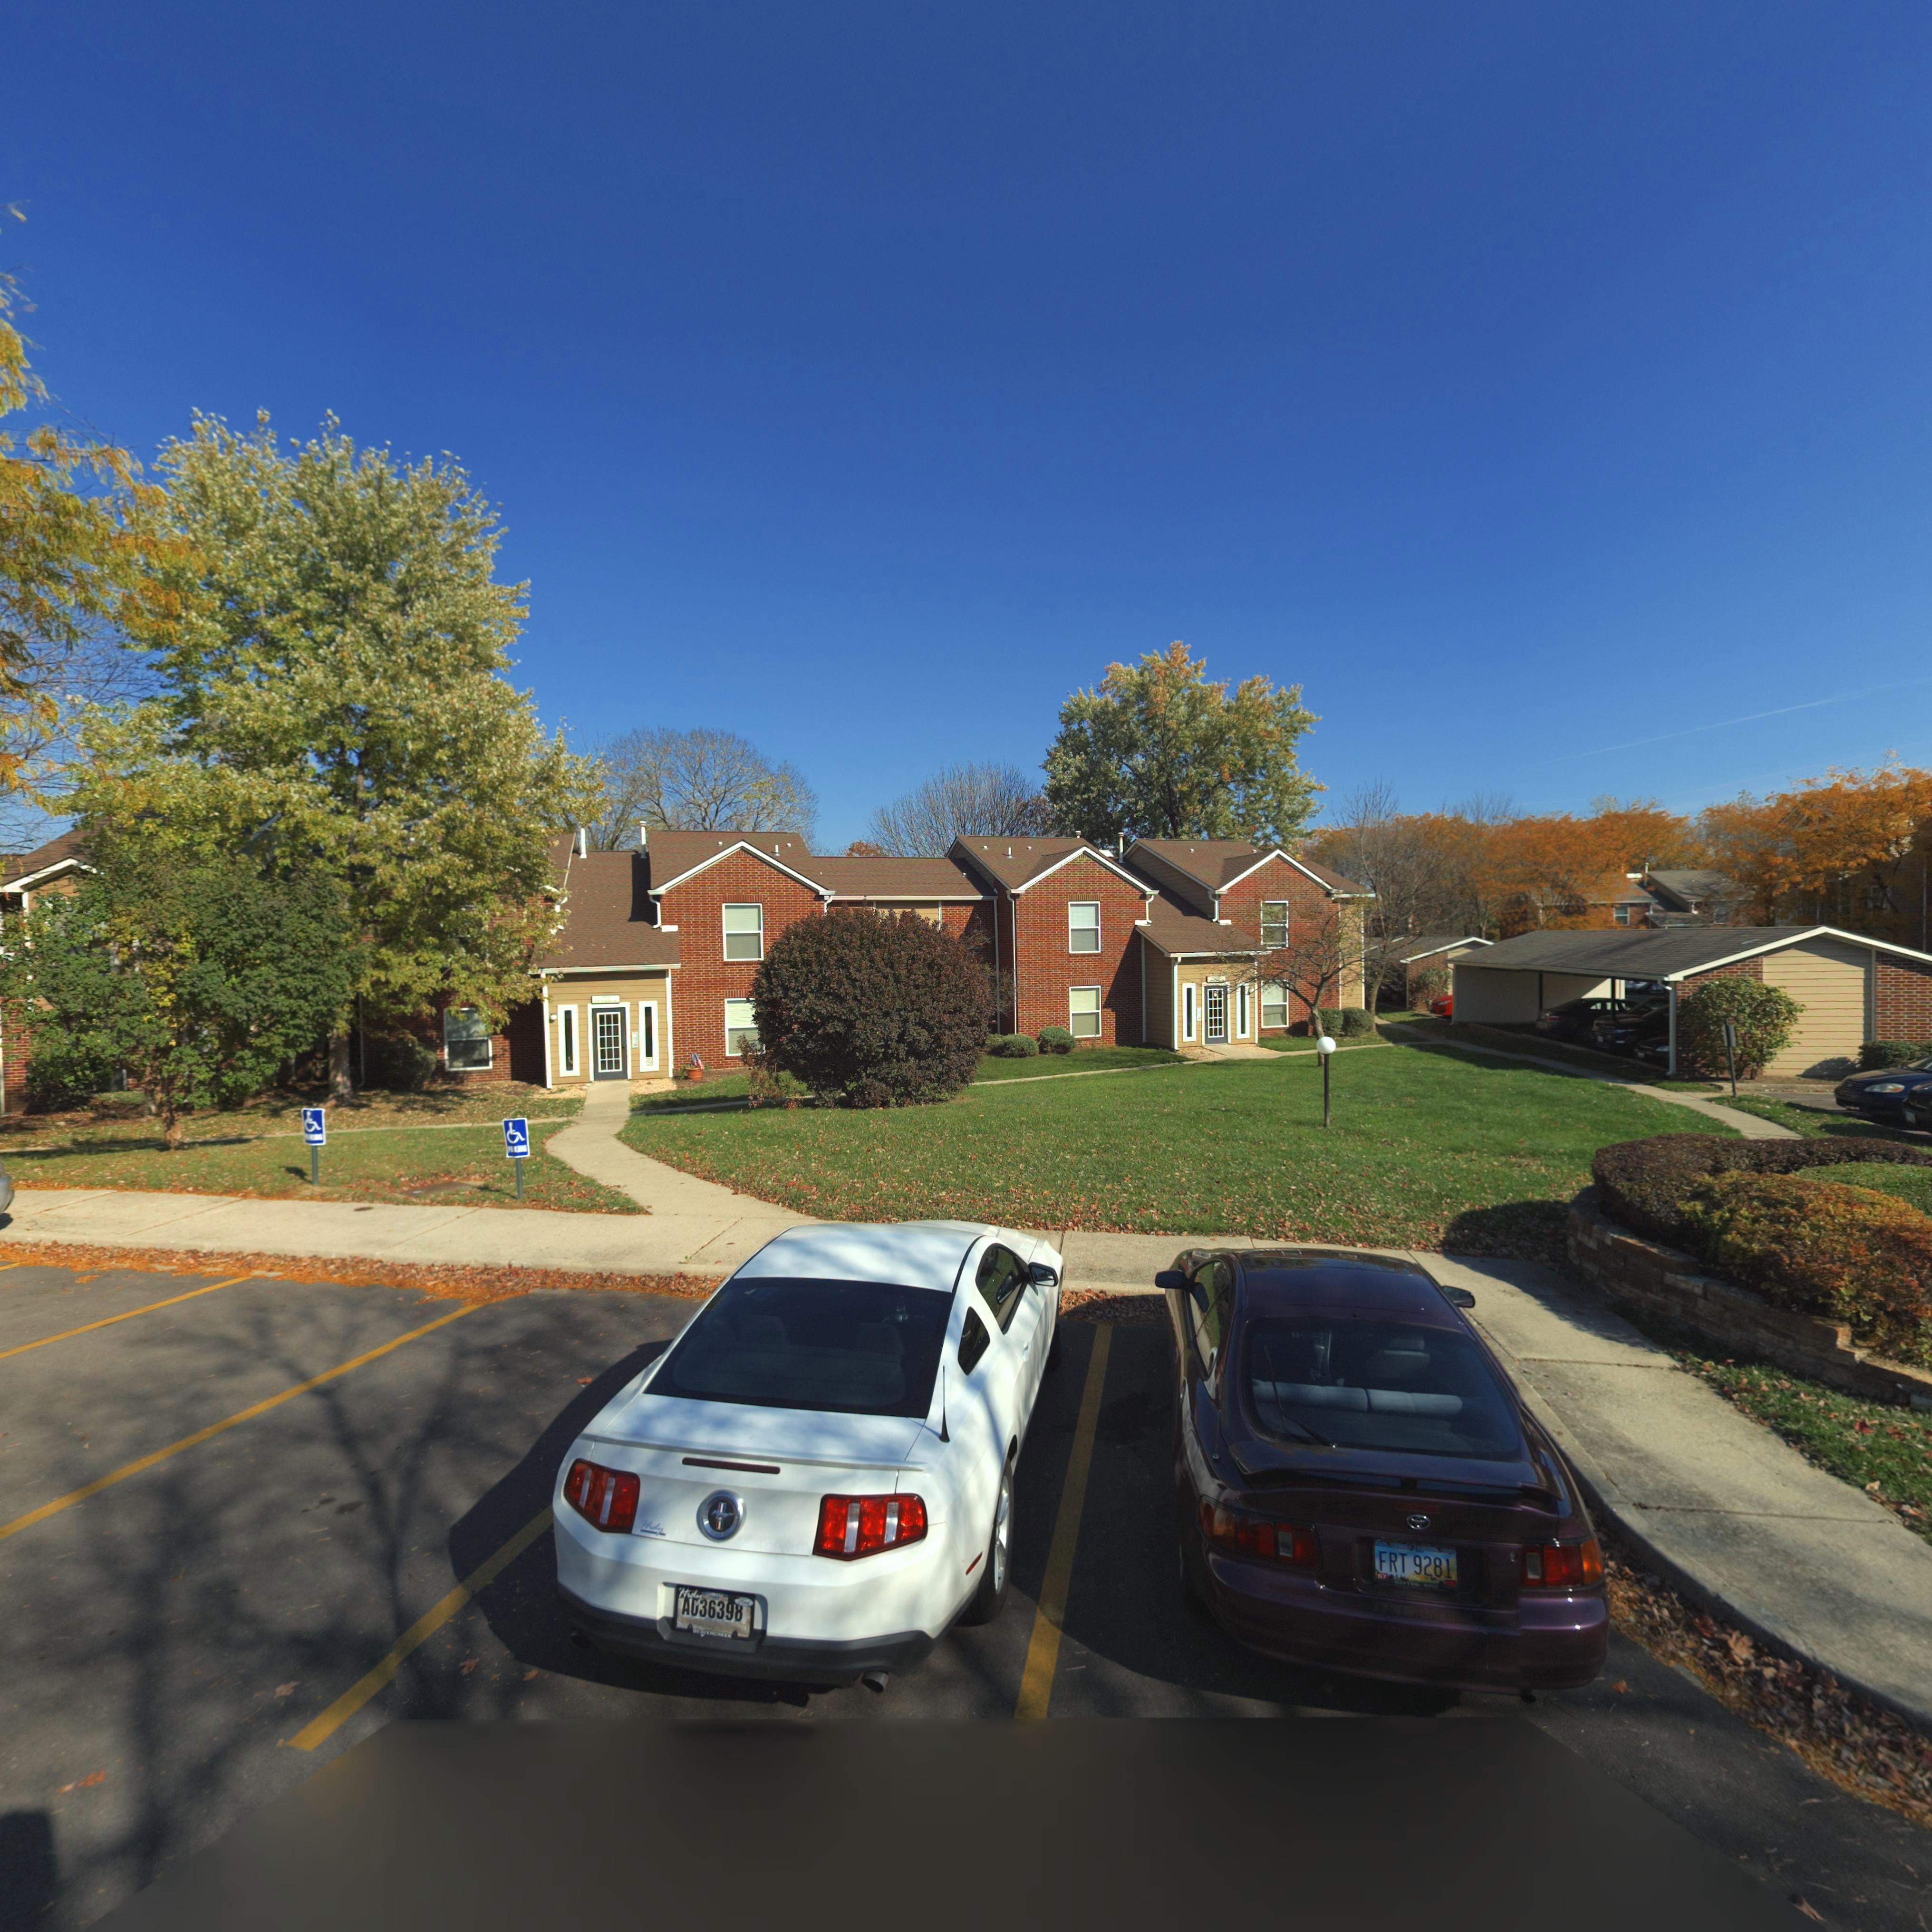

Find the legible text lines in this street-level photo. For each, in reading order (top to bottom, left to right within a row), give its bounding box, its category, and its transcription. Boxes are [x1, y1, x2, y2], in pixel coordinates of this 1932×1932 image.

[1377, 1547, 1454, 1581] None: FRT 9281
[678, 1592, 747, 1625] None: A*36398